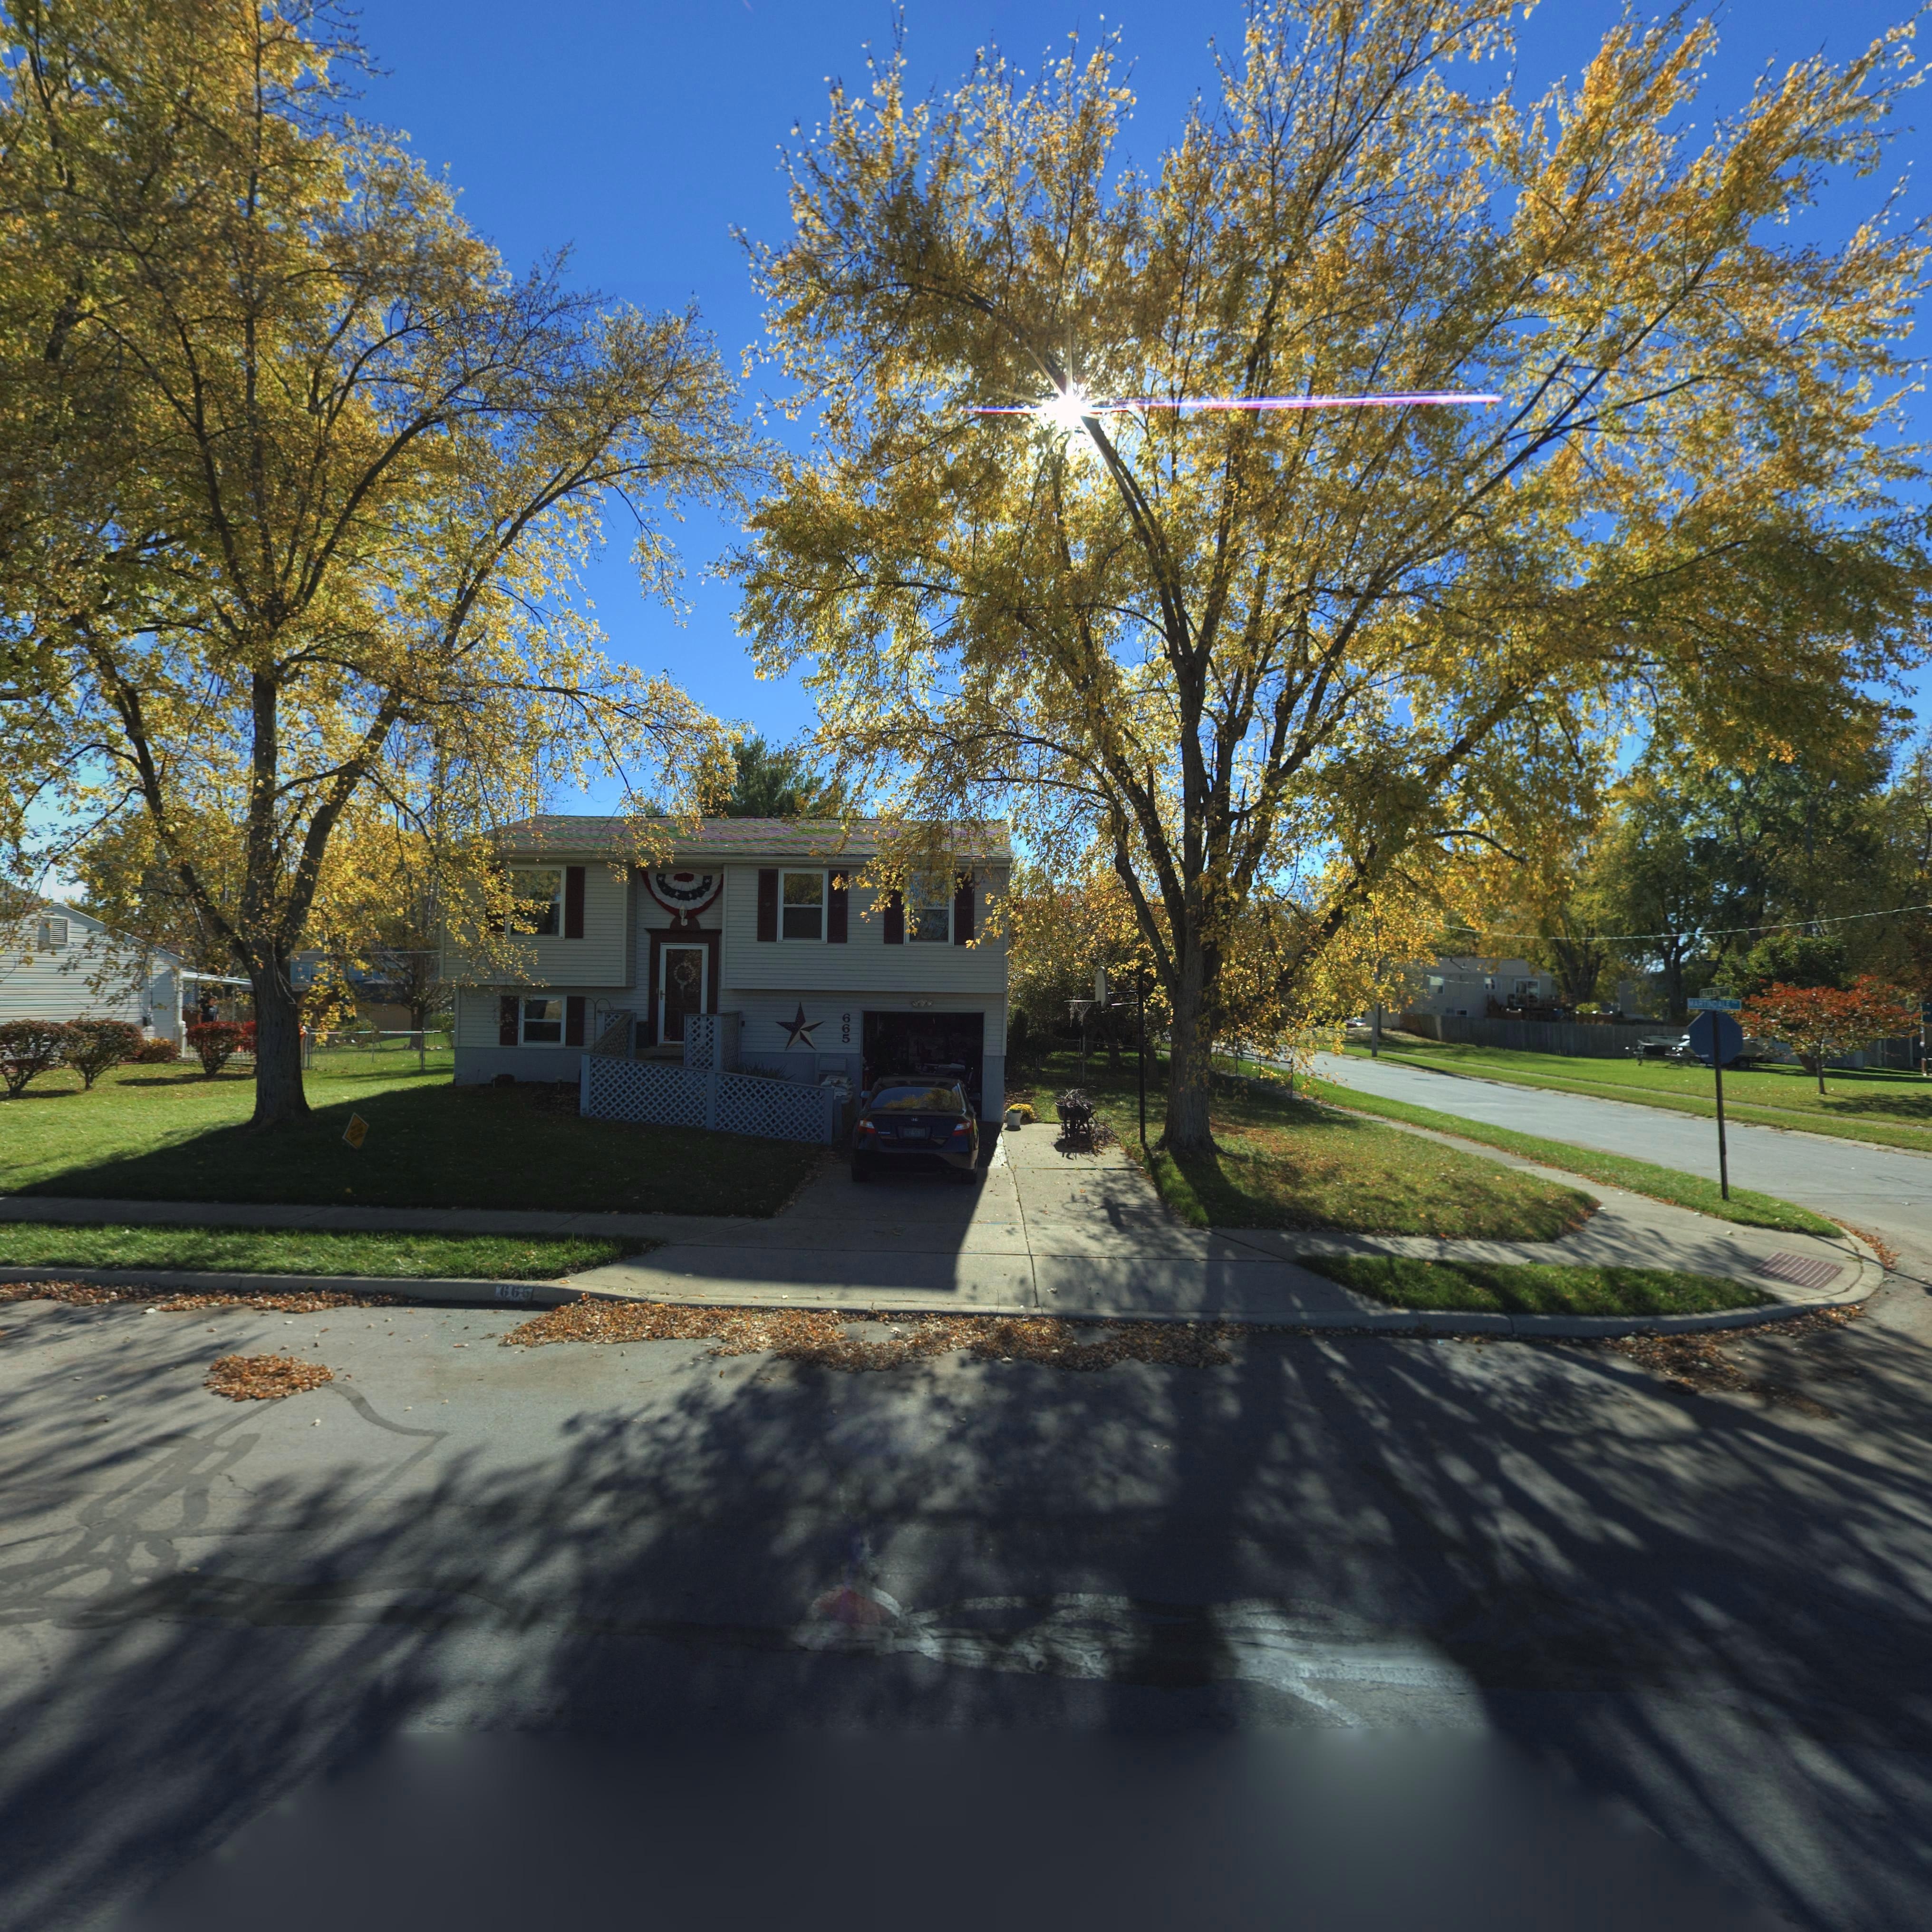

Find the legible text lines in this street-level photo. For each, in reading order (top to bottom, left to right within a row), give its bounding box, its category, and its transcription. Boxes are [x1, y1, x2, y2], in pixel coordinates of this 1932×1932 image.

[841, 1013, 850, 1043] StreetNumber: 665
[499, 1284, 532, 1299] StreetNumber: 665